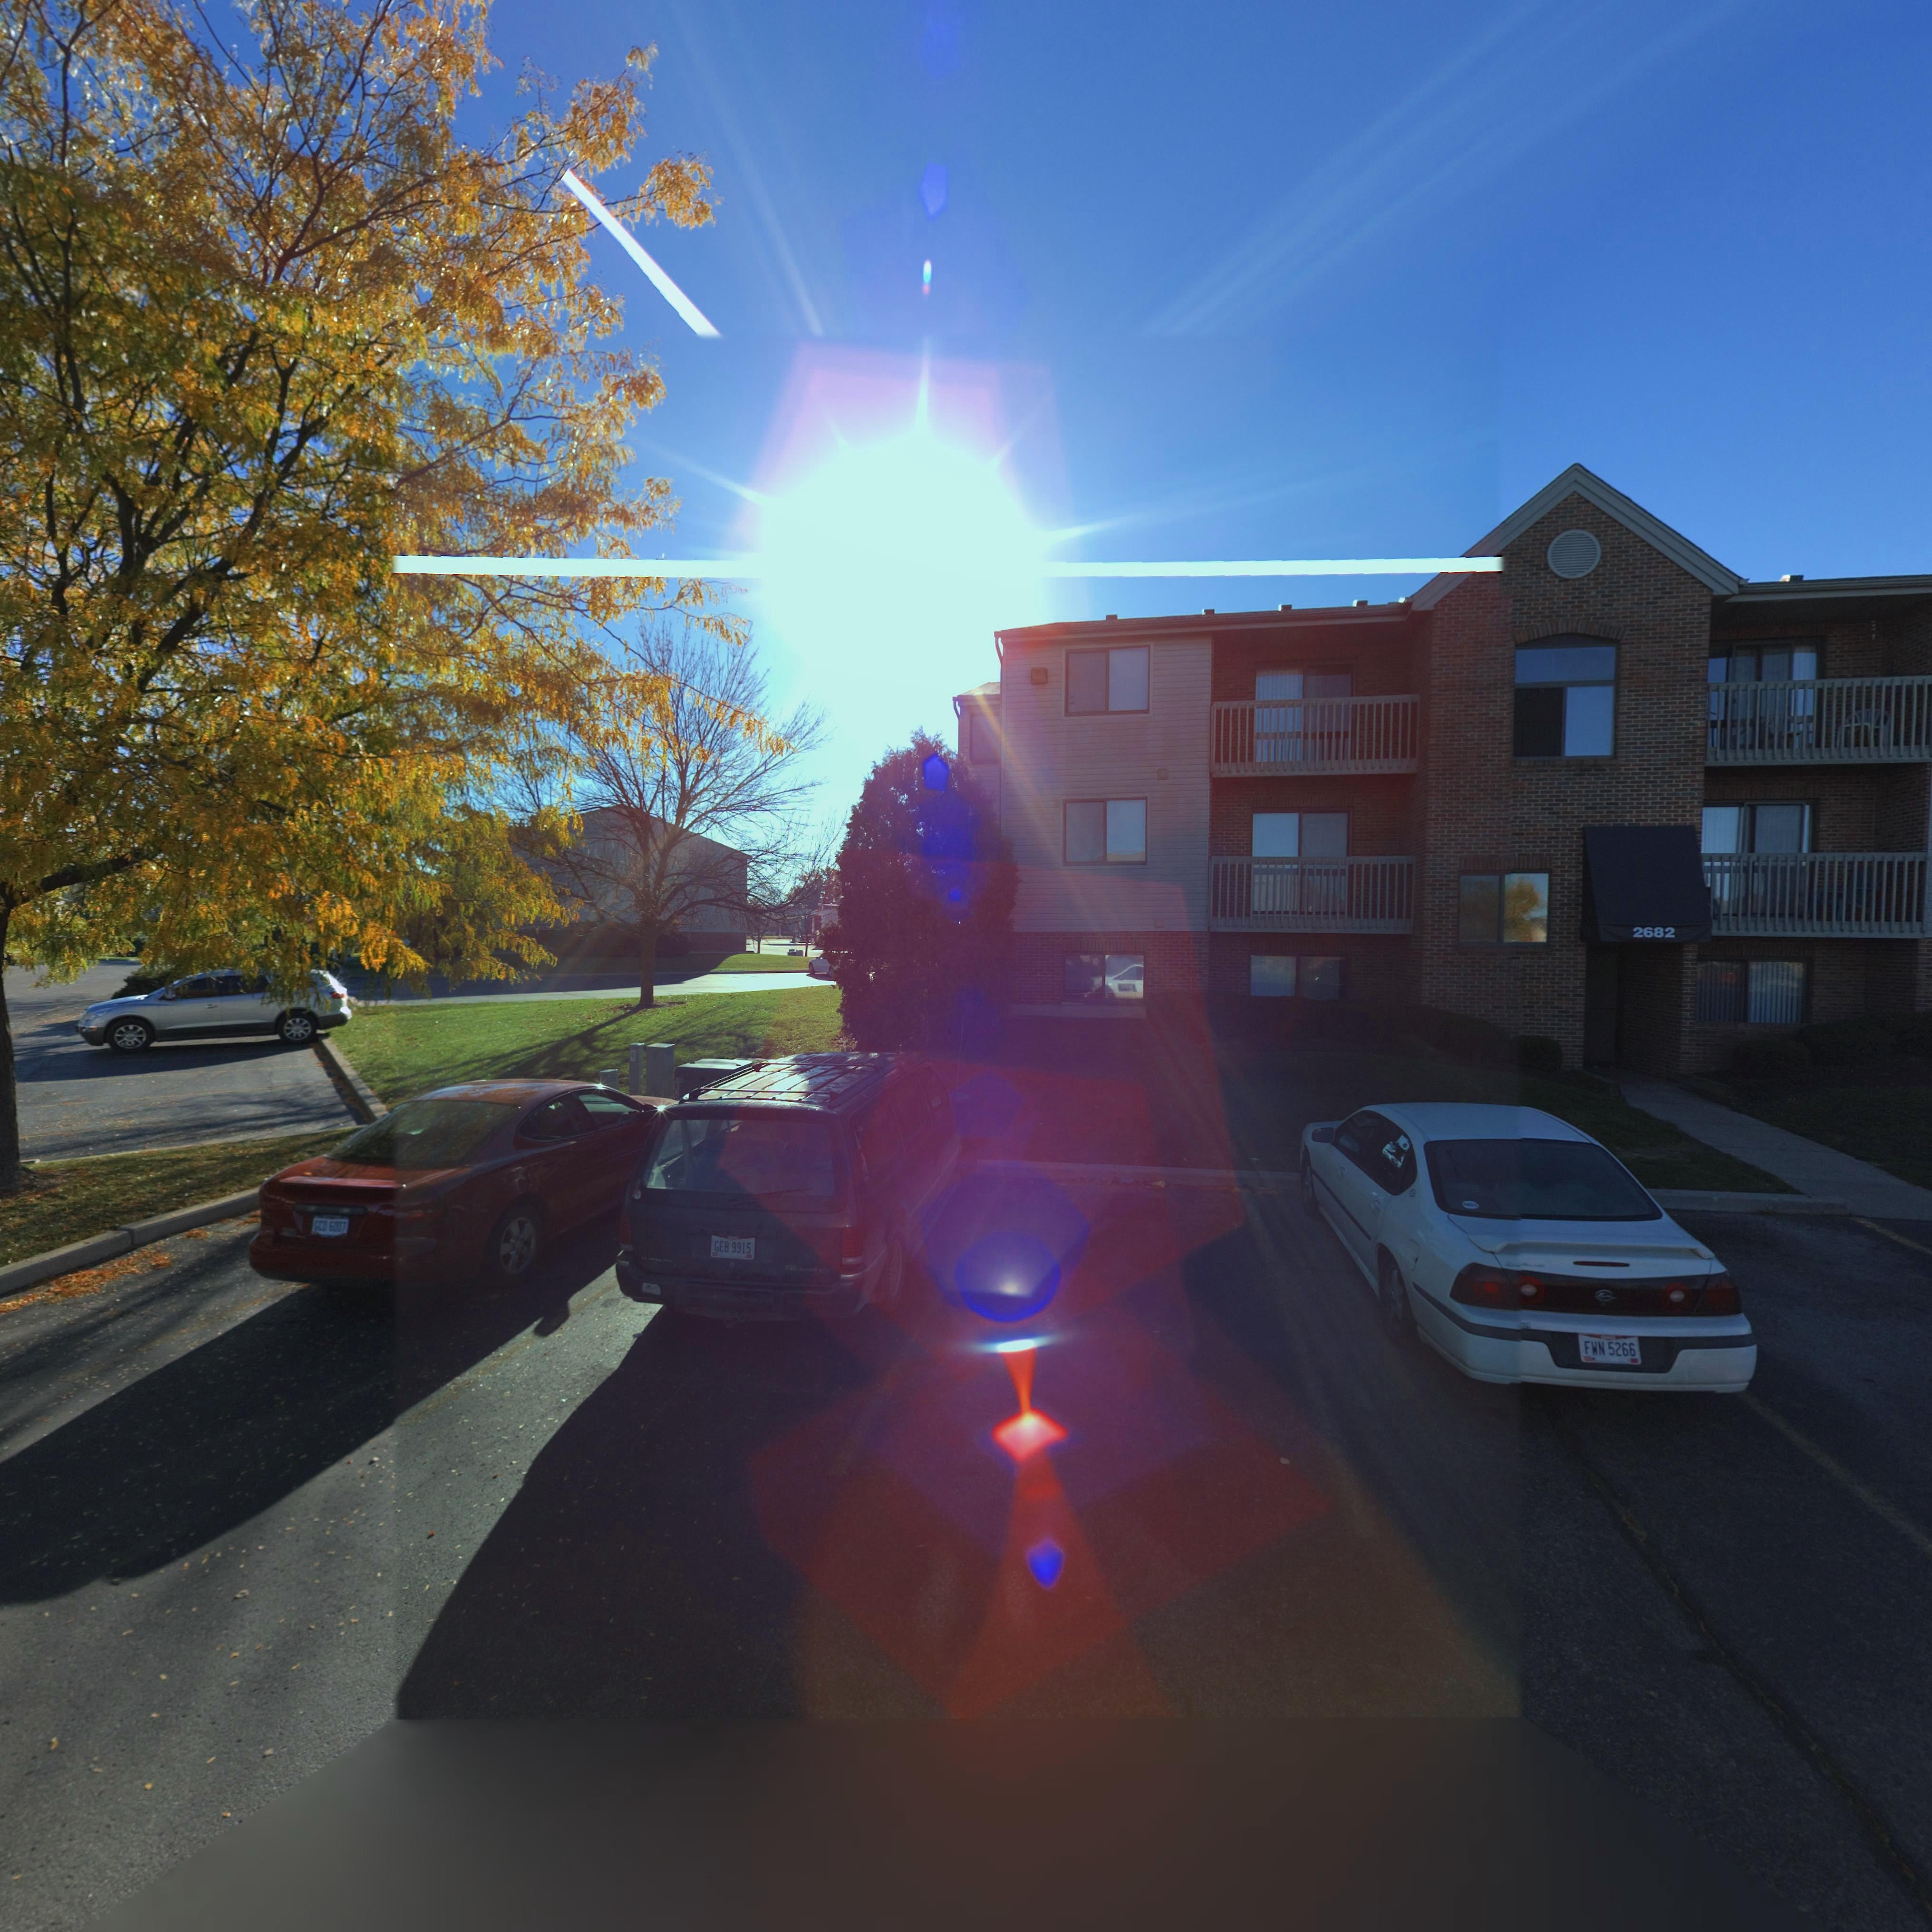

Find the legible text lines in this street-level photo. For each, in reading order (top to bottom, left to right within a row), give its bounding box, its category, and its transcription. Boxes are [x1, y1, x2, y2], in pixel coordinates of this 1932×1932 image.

[1633, 927, 1676, 938] StreetNumber: 2682